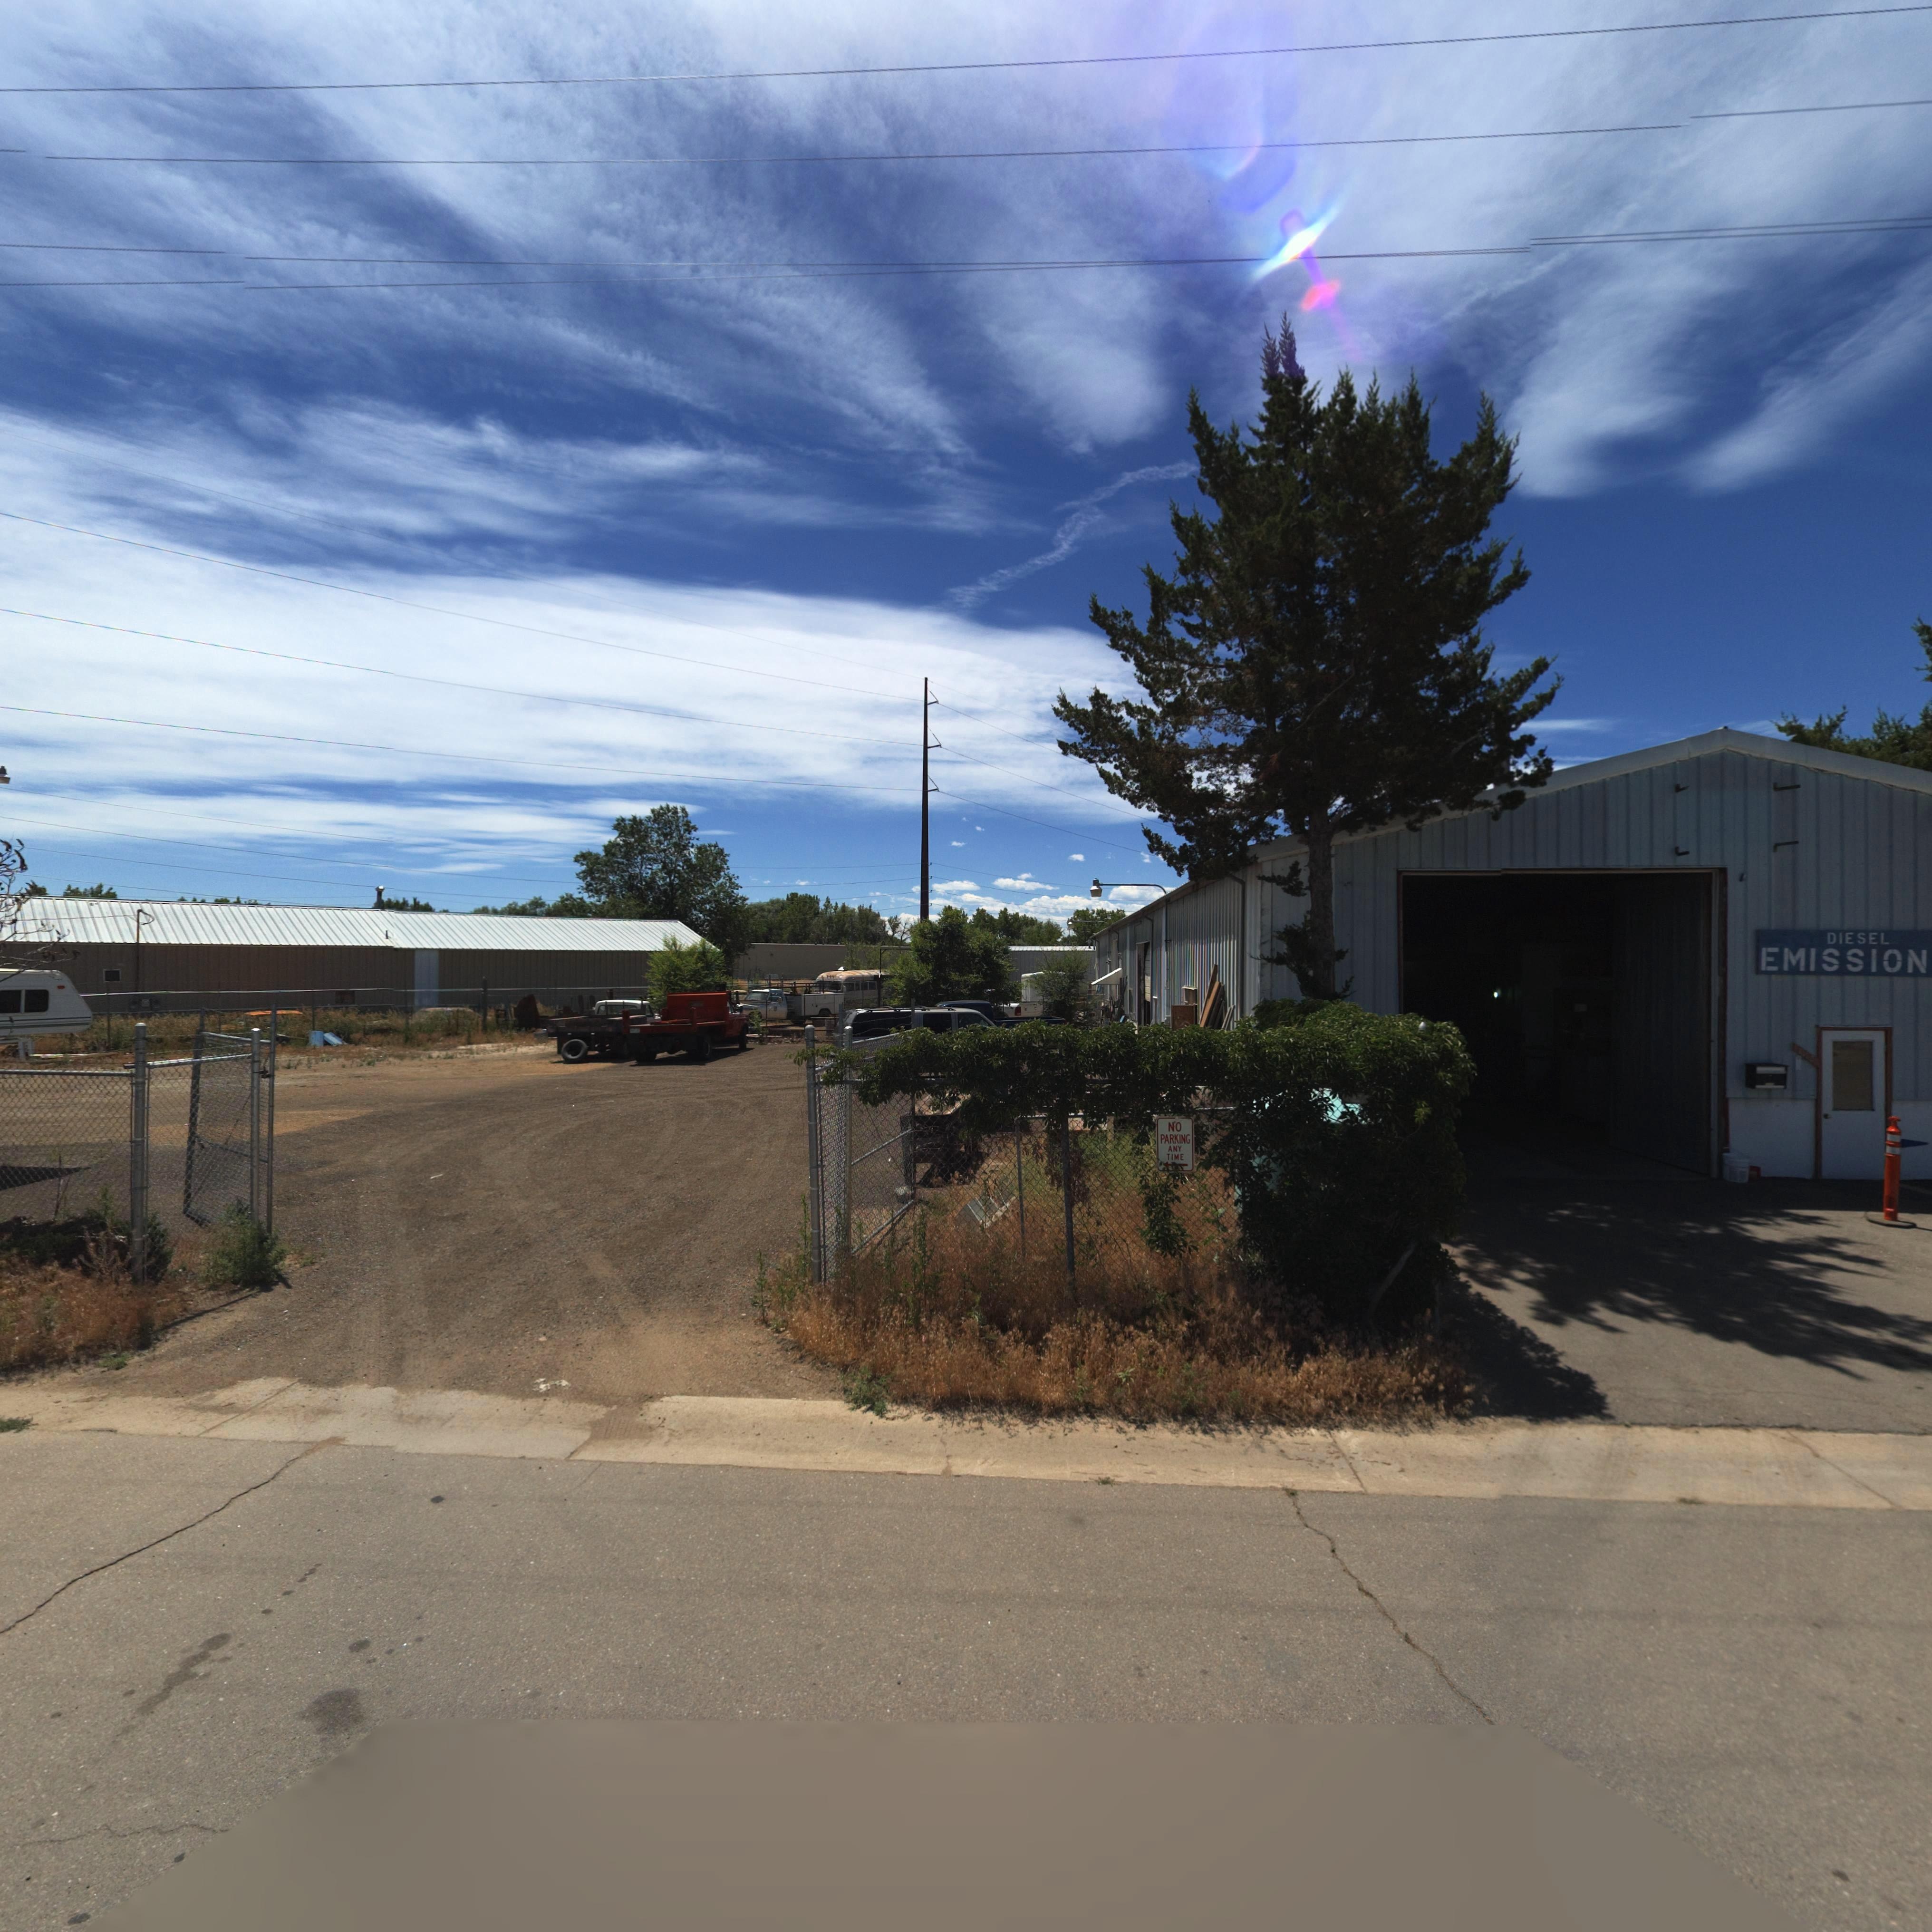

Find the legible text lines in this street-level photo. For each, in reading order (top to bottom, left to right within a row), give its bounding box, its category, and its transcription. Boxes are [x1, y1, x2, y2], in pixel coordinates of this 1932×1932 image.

[1826, 931, 1891, 946] BusinessName: DIESEL
[1759, 947, 1928, 974] BusinessName: EMISSION